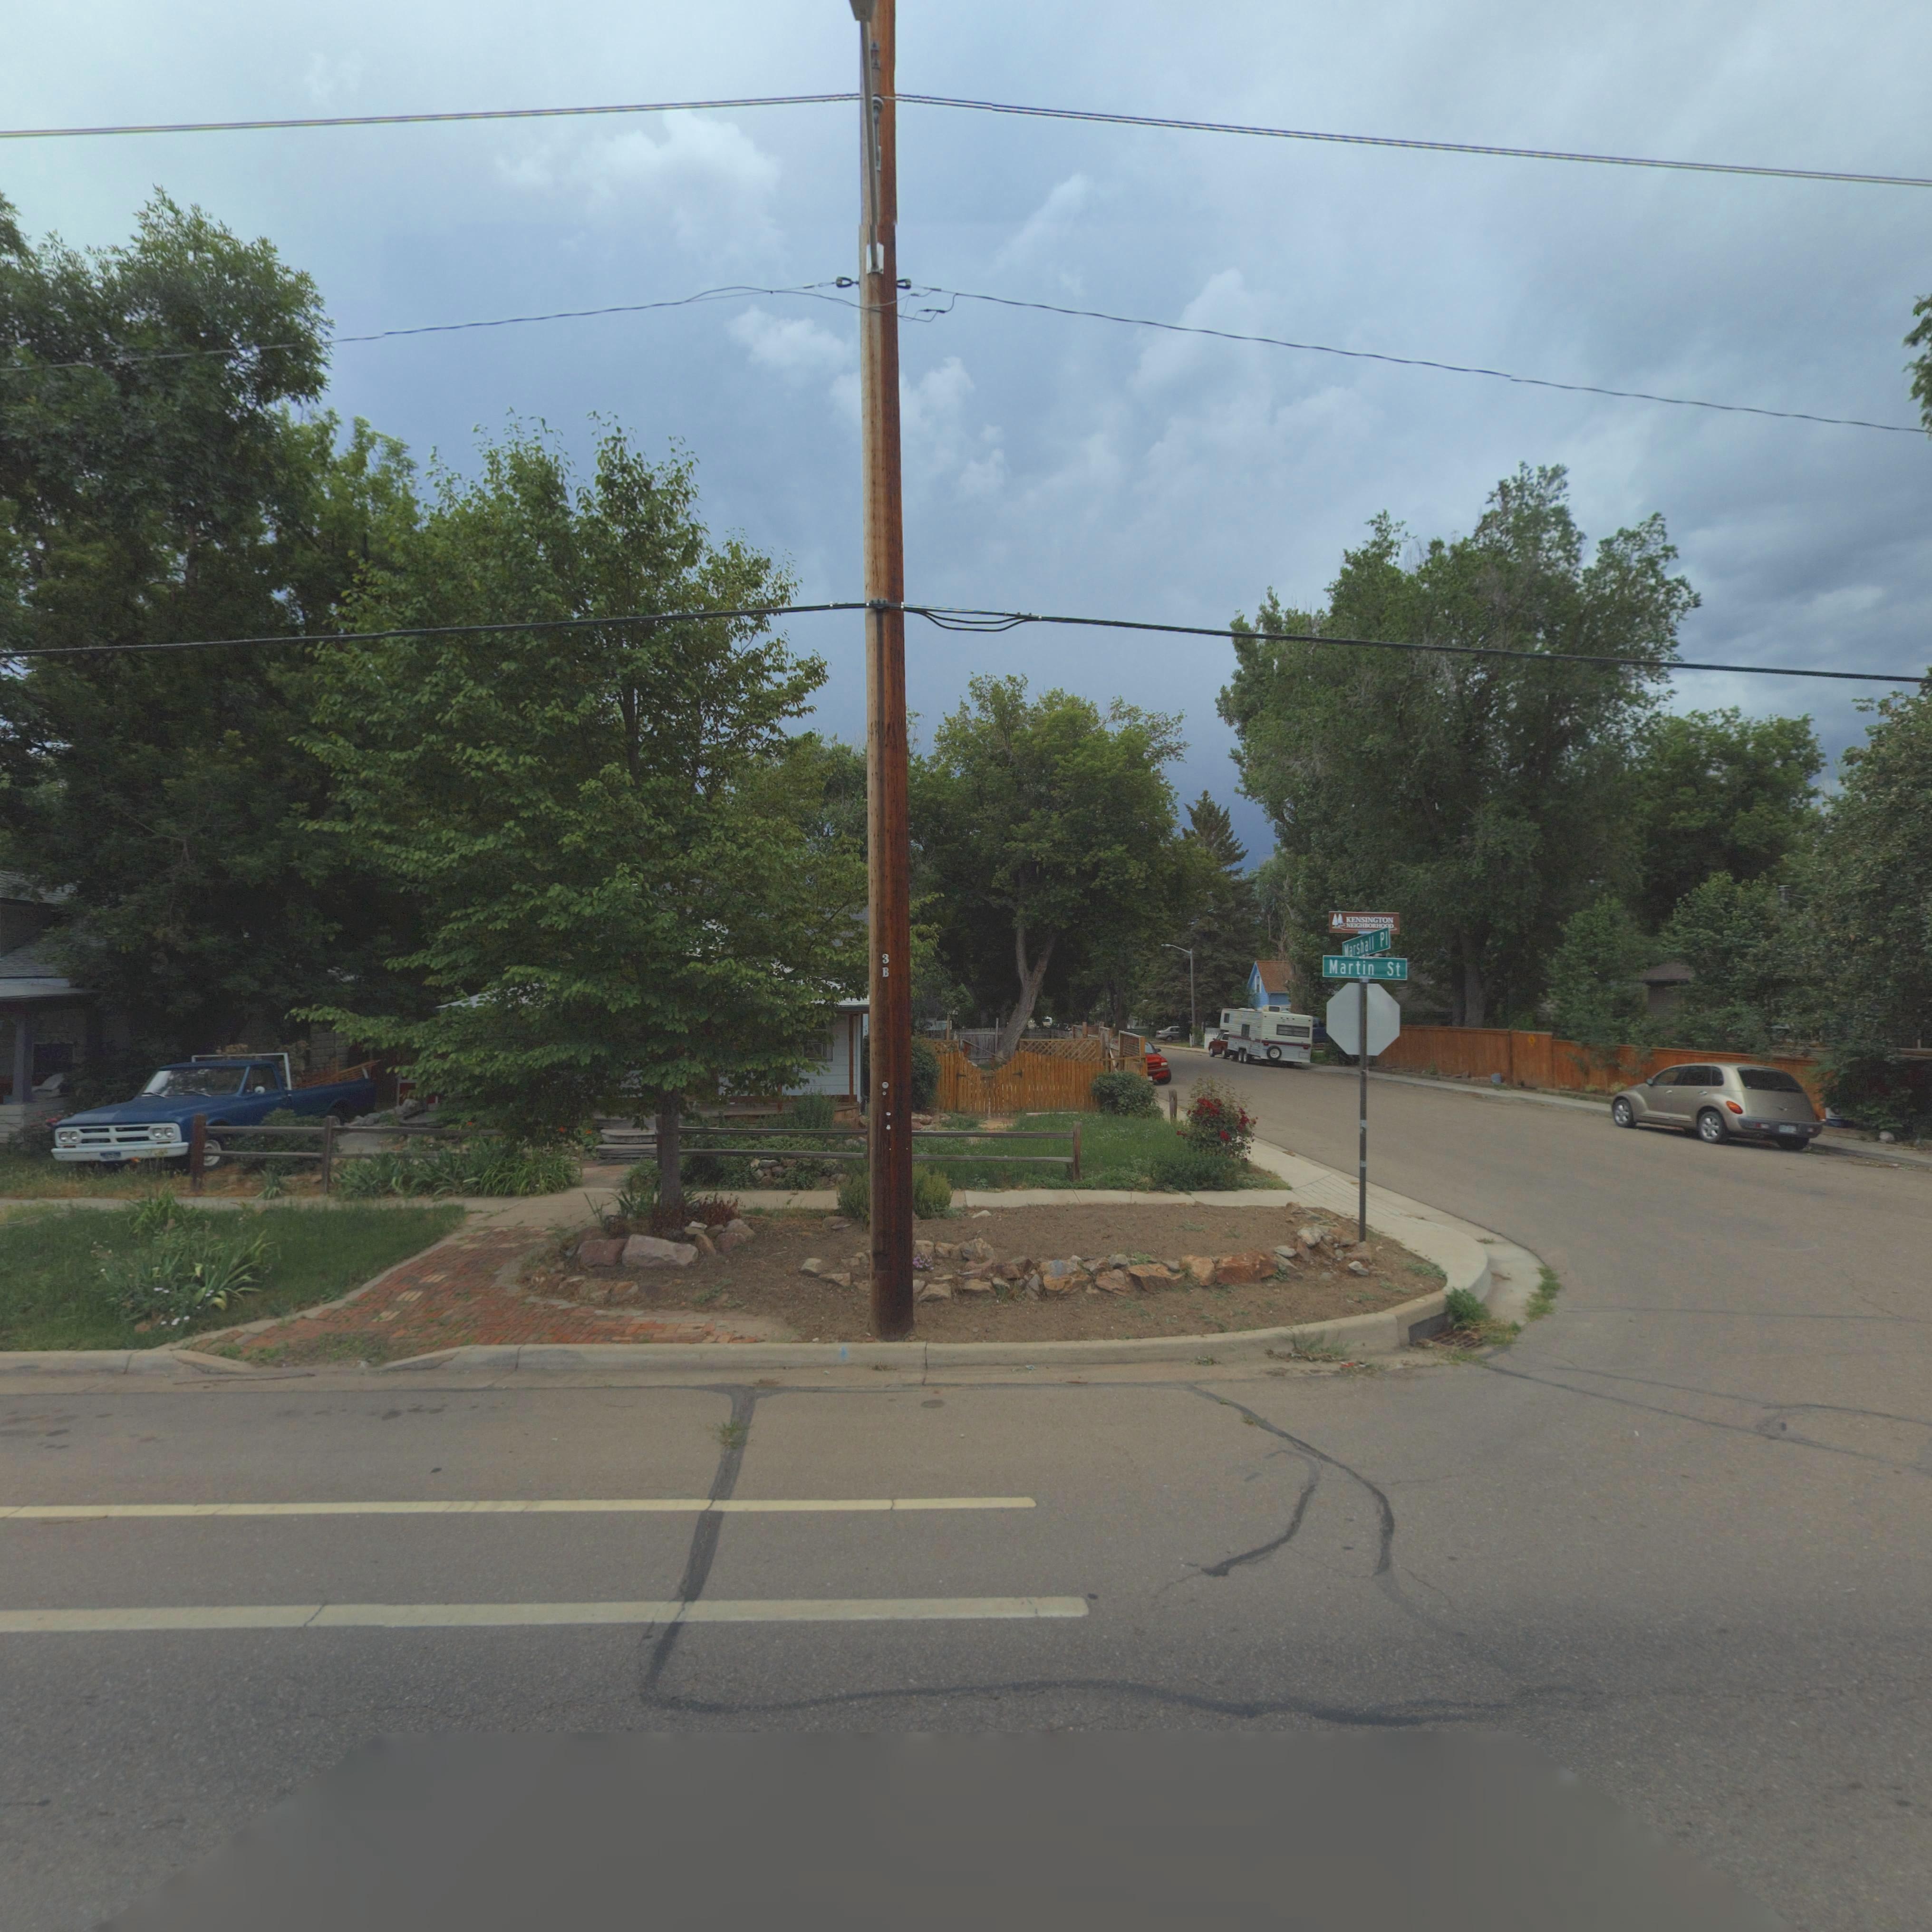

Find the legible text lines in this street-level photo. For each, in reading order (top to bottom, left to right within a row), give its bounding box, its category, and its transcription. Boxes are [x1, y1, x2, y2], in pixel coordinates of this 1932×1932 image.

[1343, 930, 1389, 958] StreetName: Marshall Pl
[1329, 958, 1401, 976] StreetName: Martin St